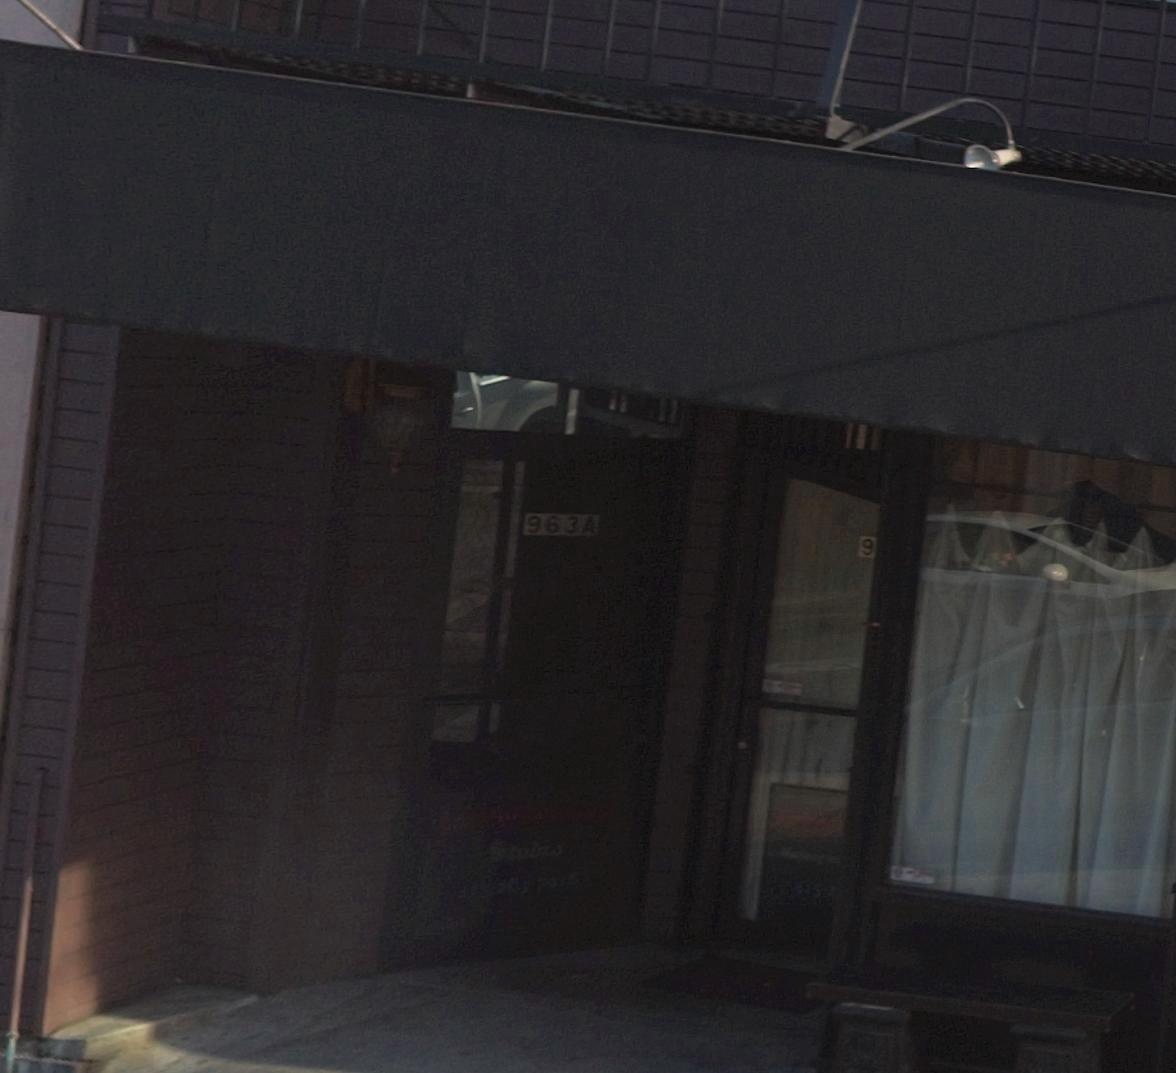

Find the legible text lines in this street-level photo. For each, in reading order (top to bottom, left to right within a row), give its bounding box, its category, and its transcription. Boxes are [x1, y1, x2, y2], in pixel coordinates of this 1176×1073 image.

[521, 509, 602, 541] StreetNumber: 963A